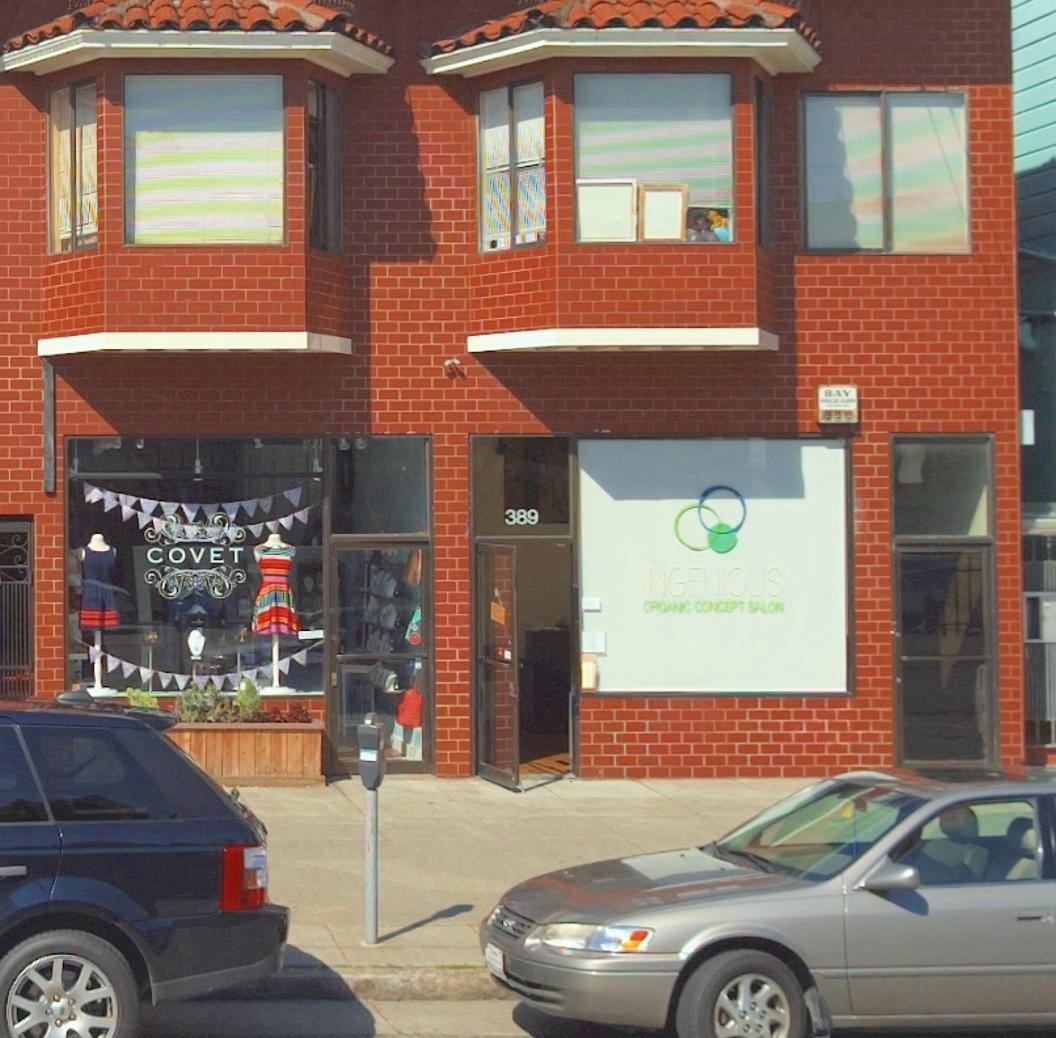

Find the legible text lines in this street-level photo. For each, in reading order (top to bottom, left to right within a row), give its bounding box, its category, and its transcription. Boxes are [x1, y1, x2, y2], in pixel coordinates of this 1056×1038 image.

[822, 387, 853, 400] None: BAY
[503, 504, 540, 528] StreetNumber: 389
[144, 544, 246, 565] BusinessName: COVET
[639, 564, 783, 598] BusinessName: INGENIOUS
[639, 599, 786, 615] BusinessName: ORGANIC CONCEPT SALON